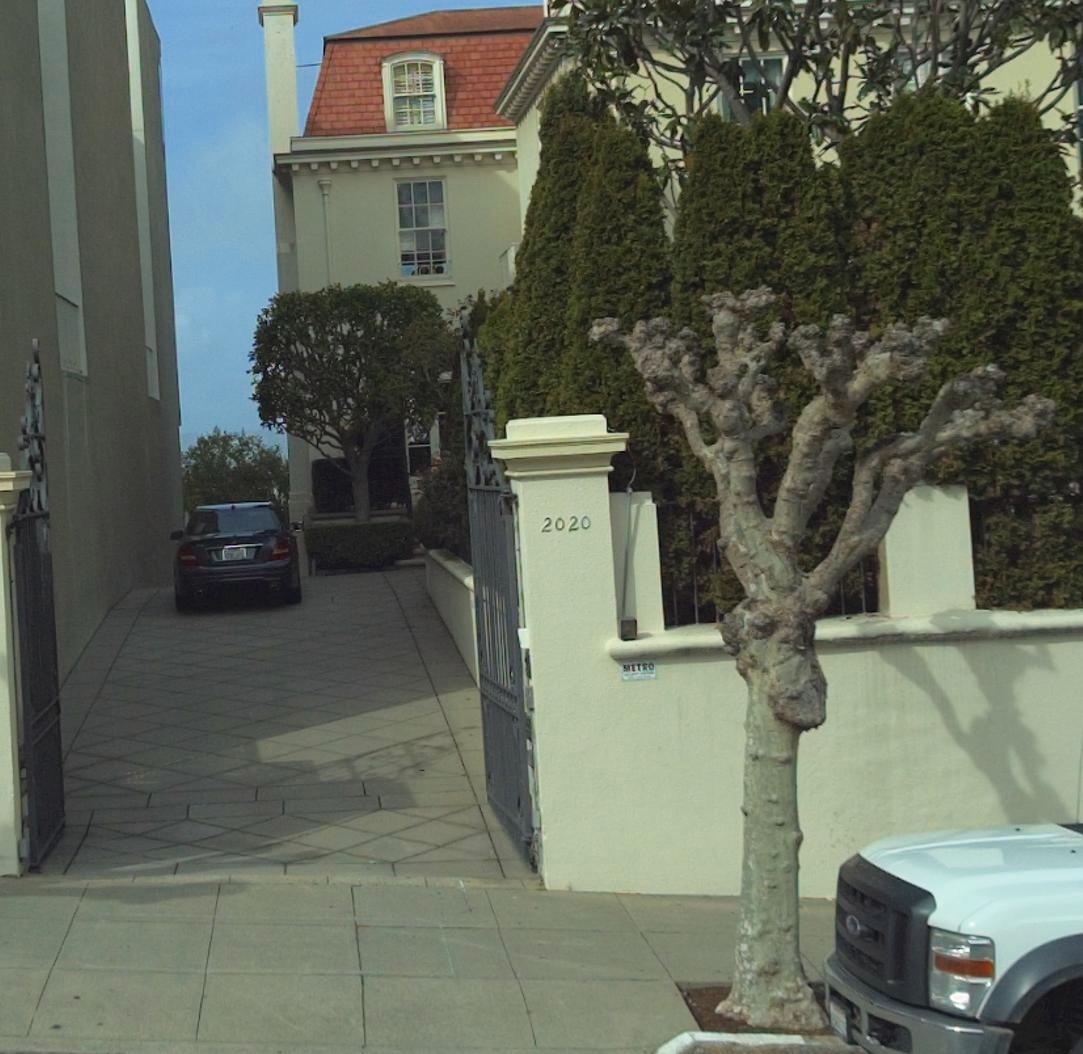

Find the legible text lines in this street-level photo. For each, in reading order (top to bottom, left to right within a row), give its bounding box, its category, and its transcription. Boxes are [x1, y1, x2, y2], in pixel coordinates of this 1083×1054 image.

[538, 513, 593, 538] StreetNumber: 2020
[620, 659, 657, 676] None: **TRO